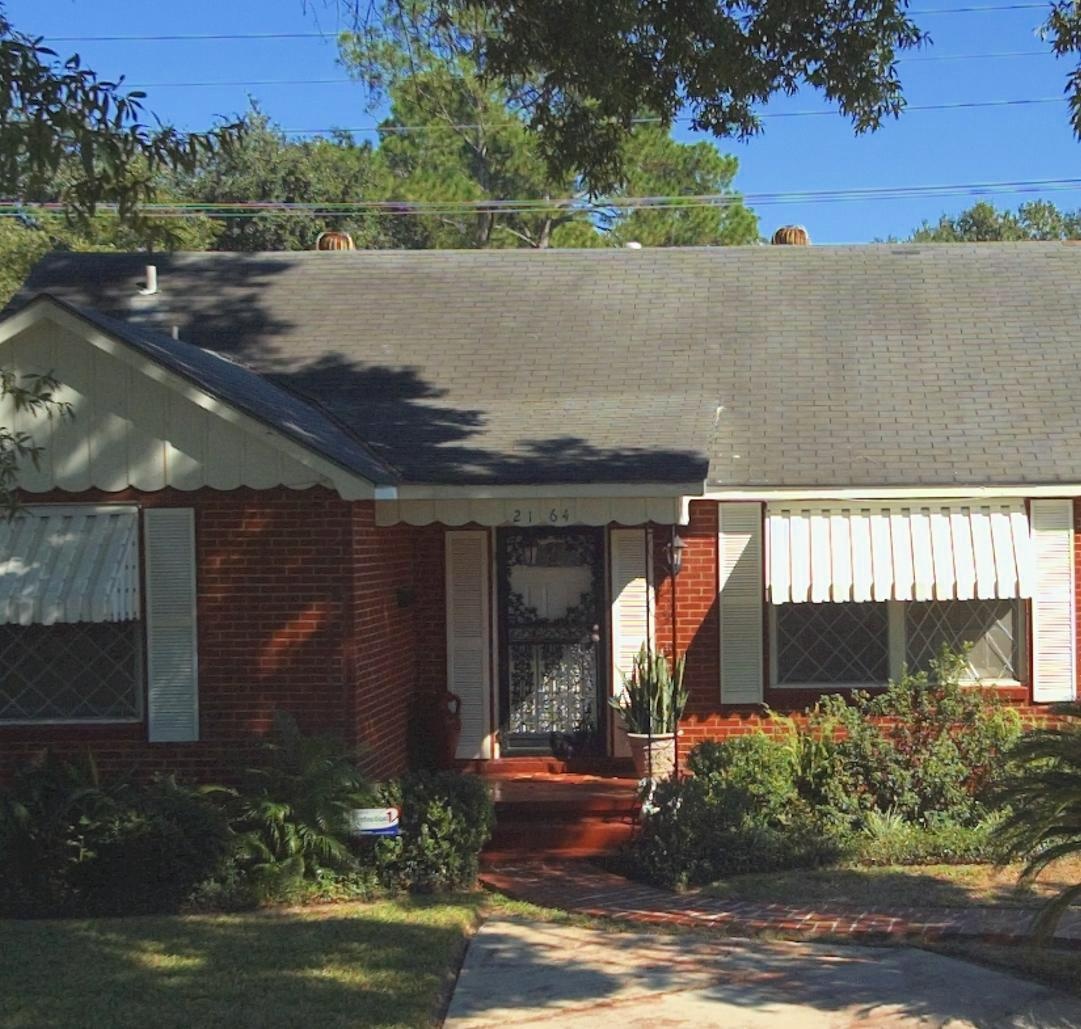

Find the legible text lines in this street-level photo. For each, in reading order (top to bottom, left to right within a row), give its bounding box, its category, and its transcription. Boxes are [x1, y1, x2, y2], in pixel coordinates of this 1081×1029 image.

[511, 506, 571, 525] StreetNumber: 21 64
[385, 810, 394, 824] None: 1